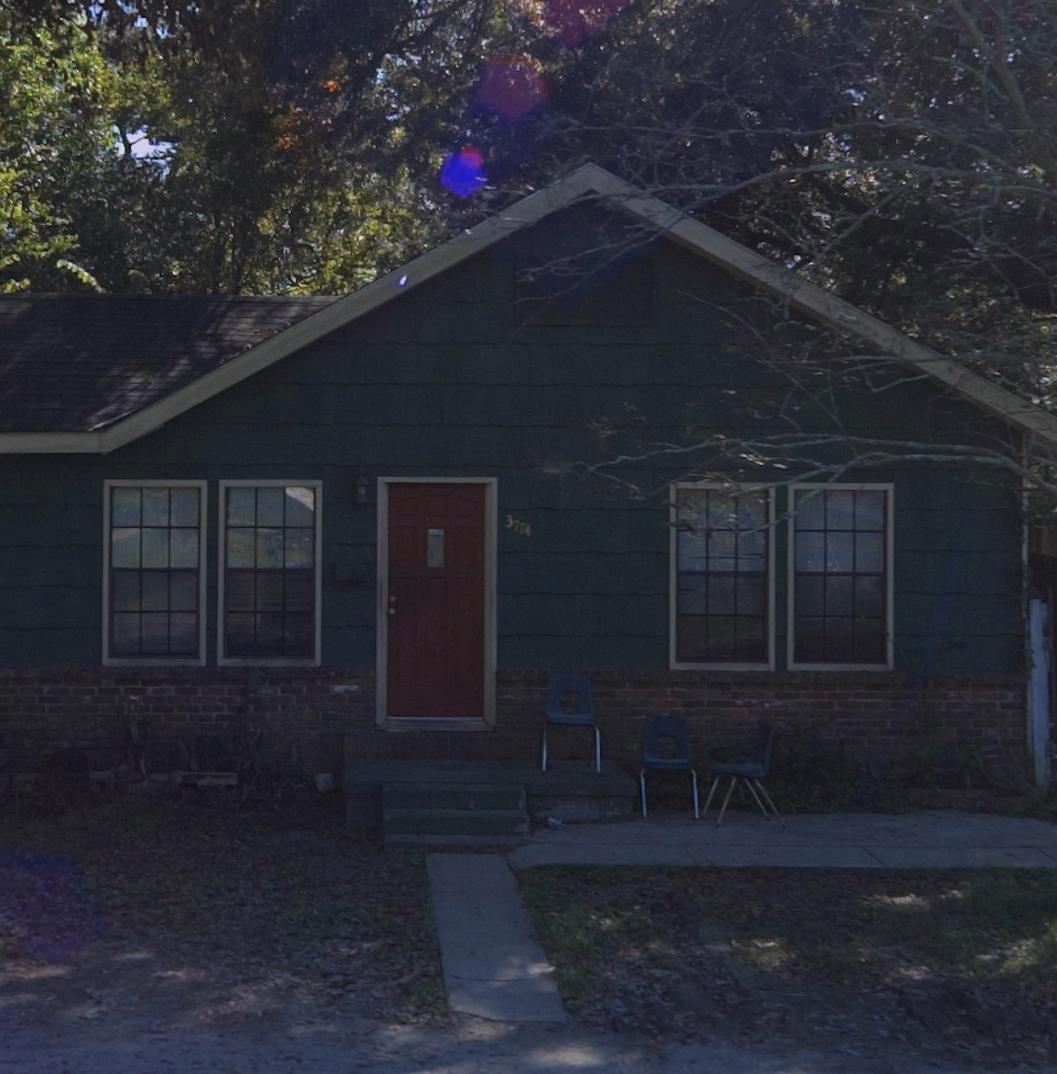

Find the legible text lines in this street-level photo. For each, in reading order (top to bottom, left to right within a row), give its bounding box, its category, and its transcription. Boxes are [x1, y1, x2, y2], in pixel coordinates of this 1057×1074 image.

[504, 511, 533, 539] StreetNumber: 3774